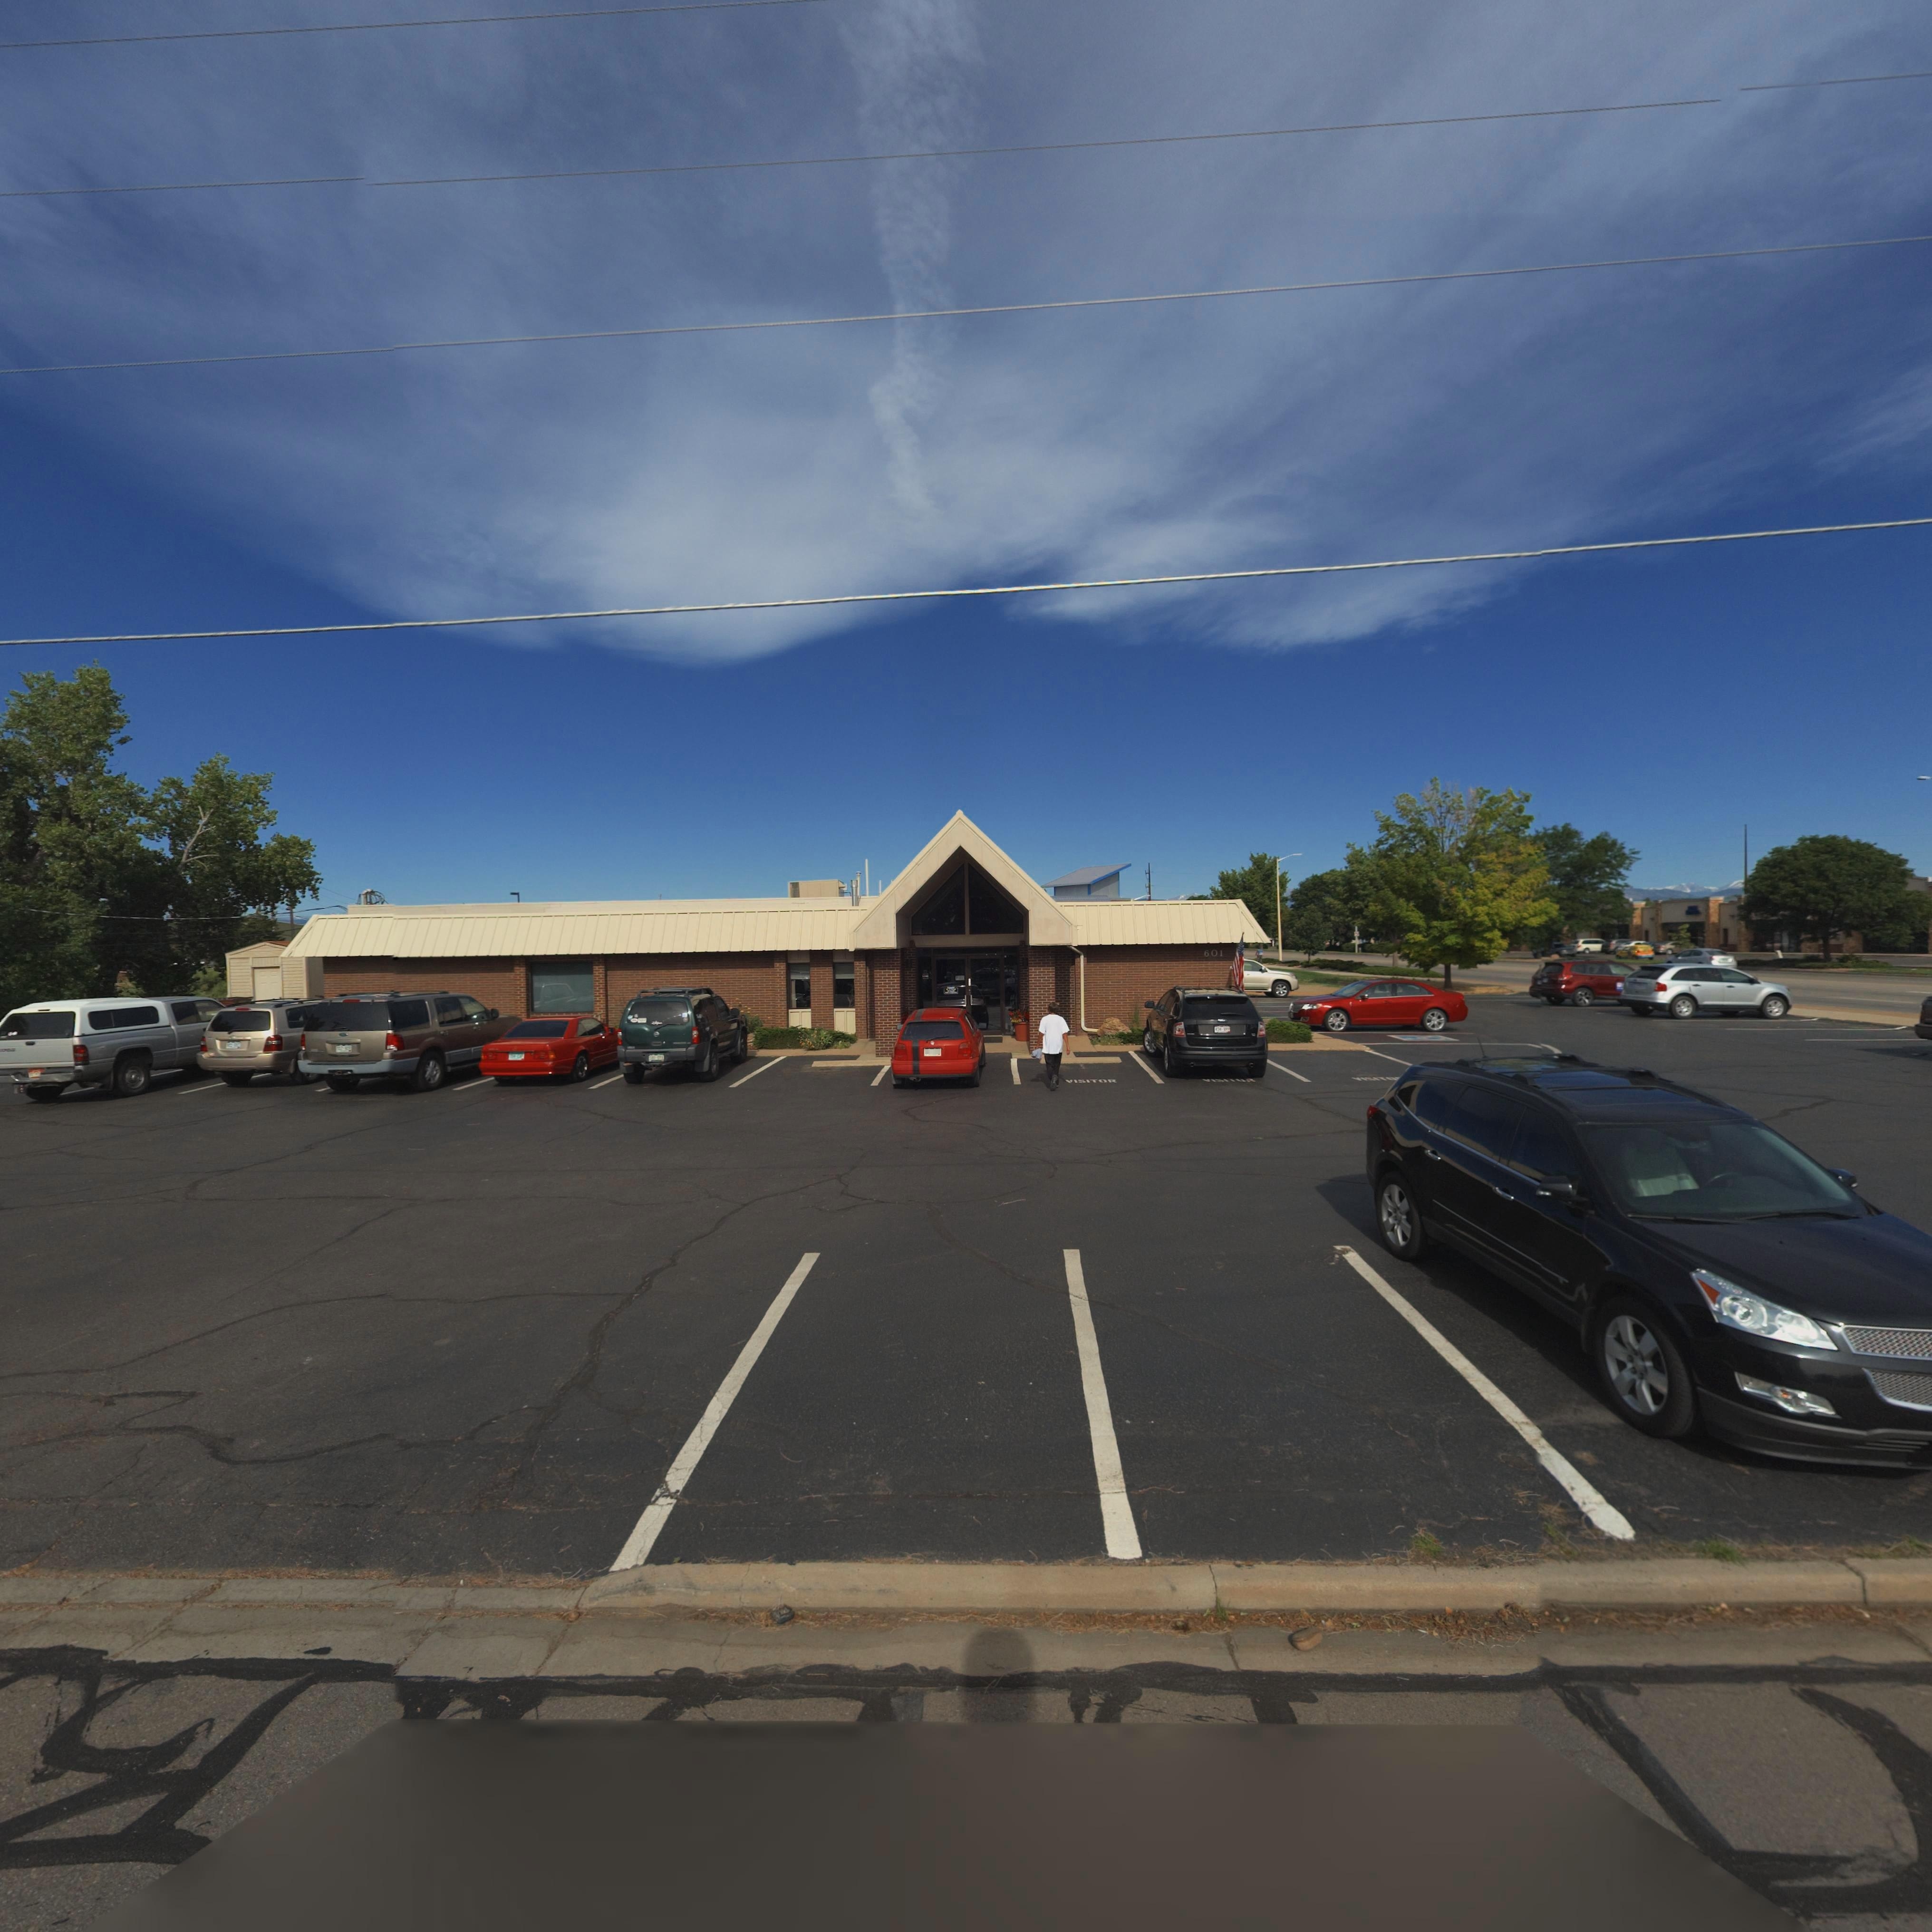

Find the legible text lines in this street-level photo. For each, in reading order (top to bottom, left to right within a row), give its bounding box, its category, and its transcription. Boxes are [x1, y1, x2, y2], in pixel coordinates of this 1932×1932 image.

[1204, 949, 1223, 957] StreetNumber: 601